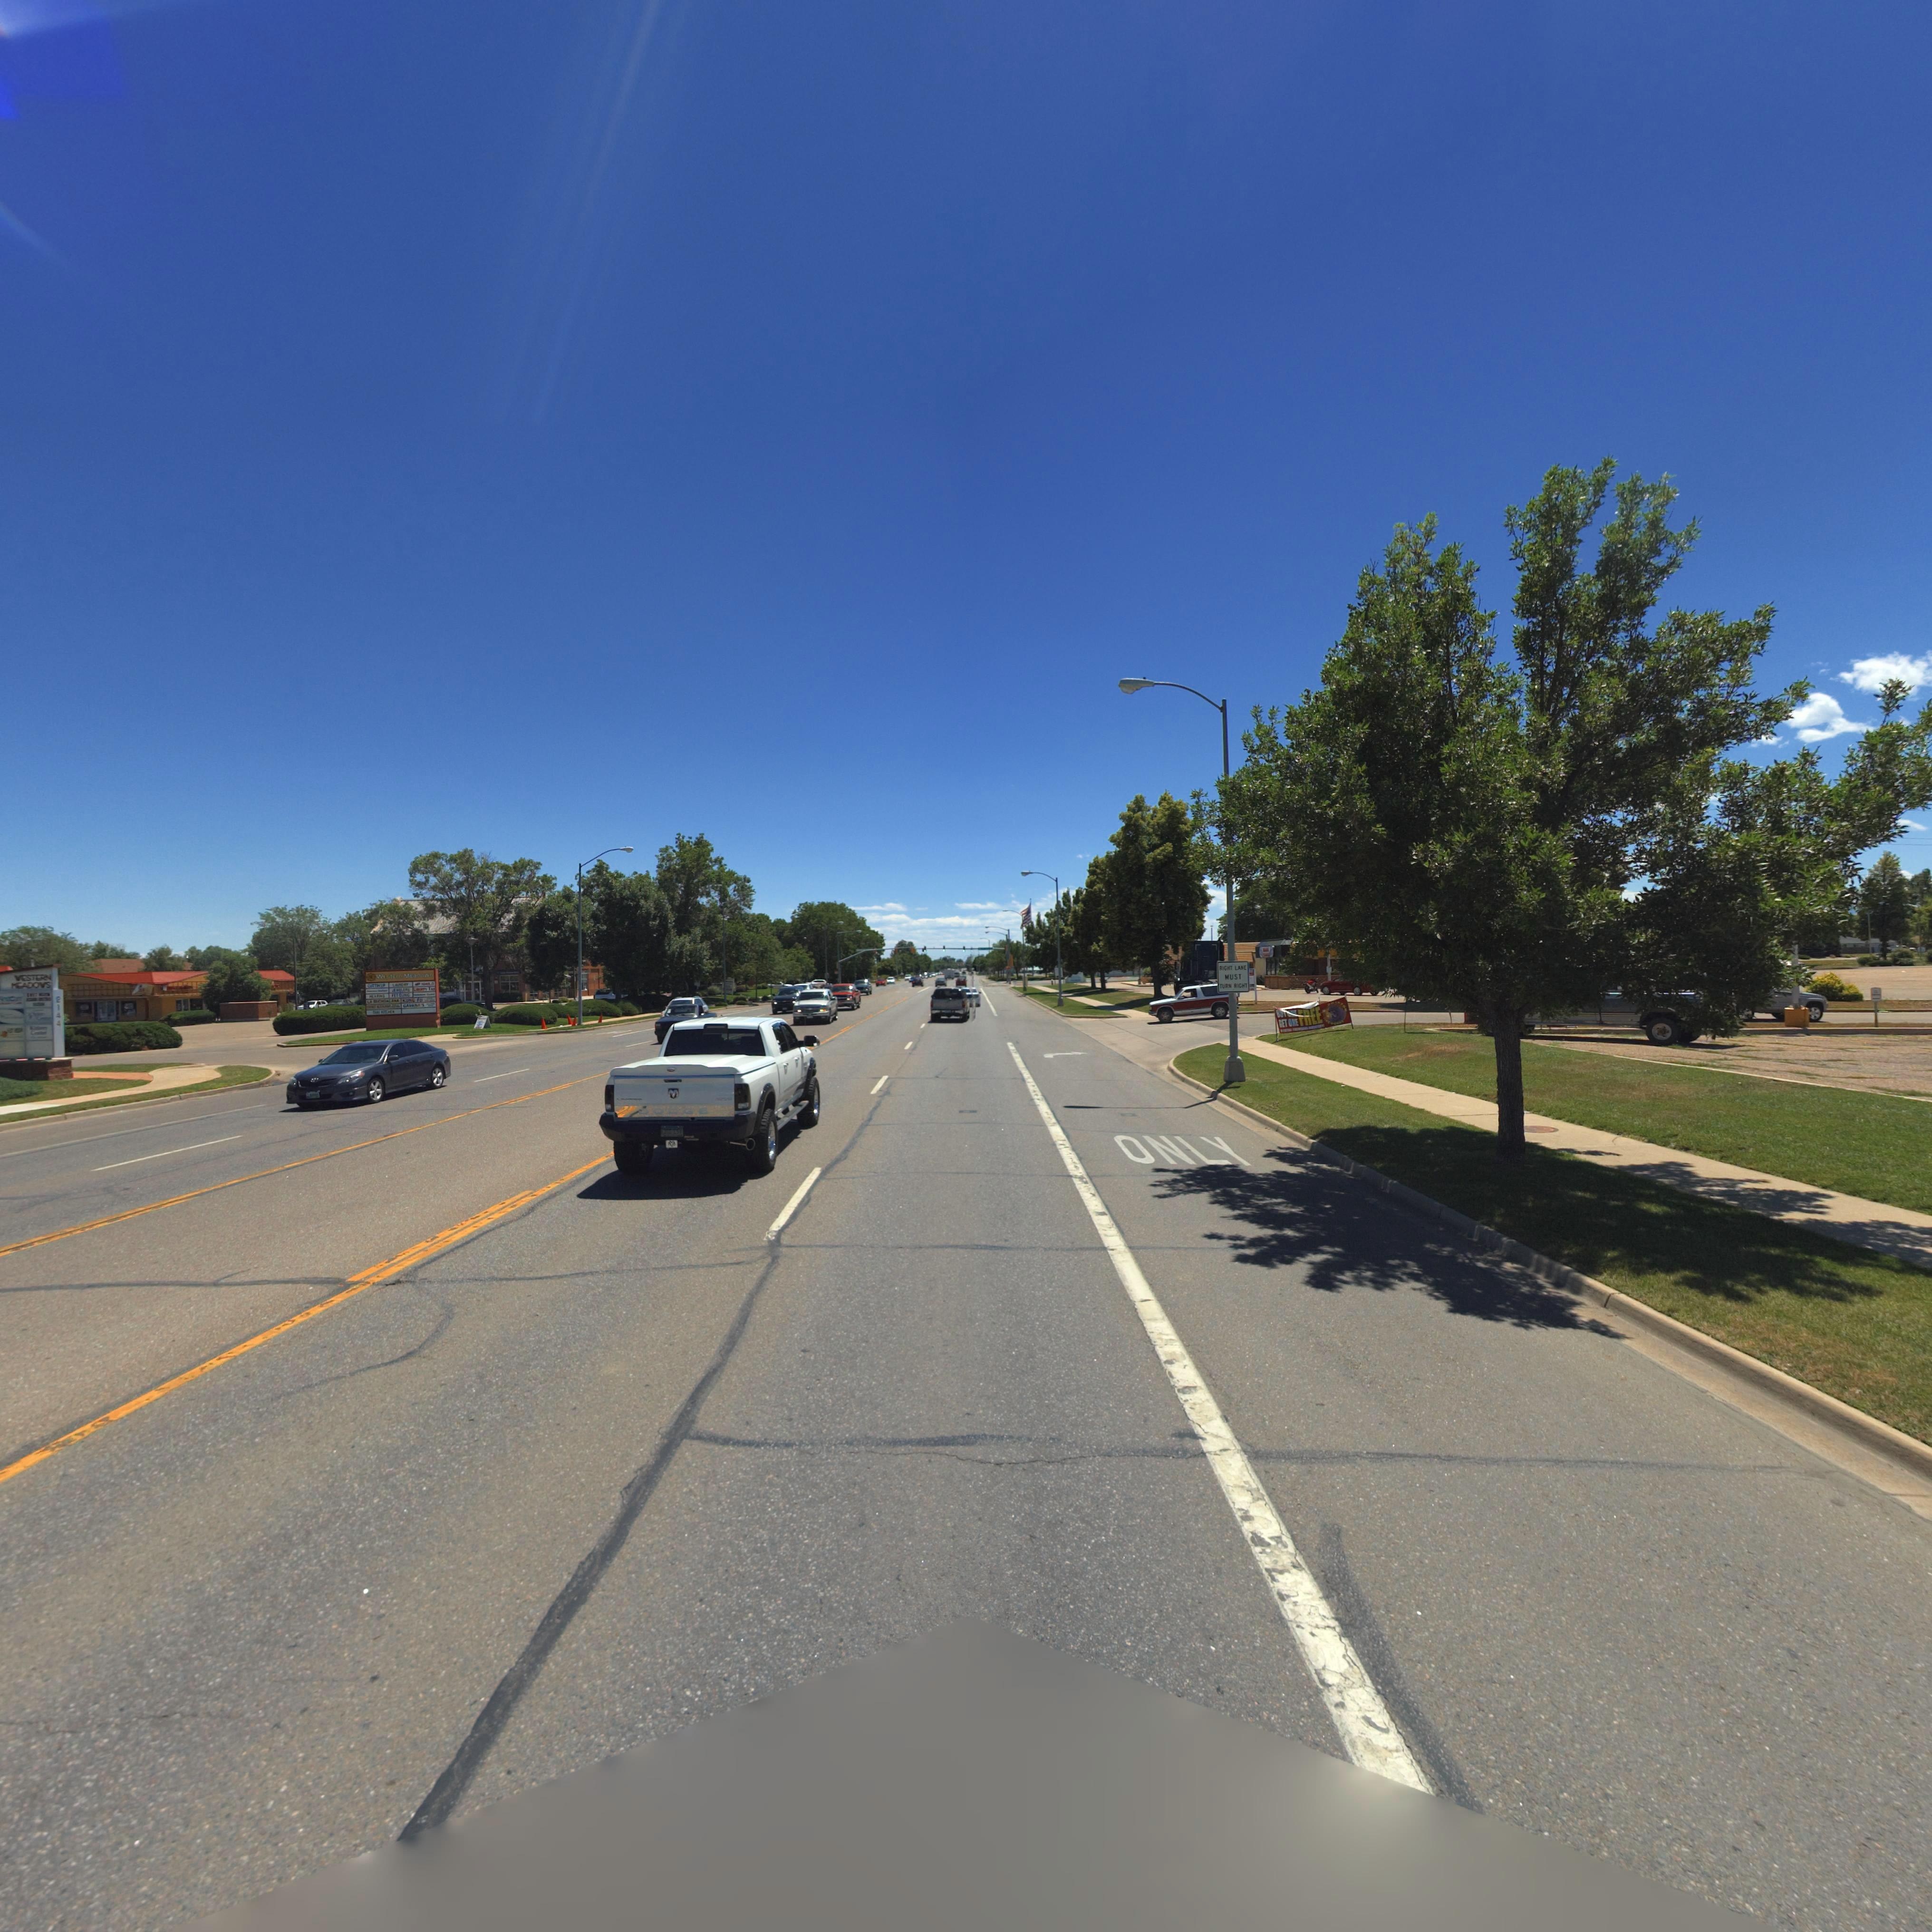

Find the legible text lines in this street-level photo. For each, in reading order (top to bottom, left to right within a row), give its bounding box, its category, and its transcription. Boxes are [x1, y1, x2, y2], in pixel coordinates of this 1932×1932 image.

[414, 986, 435, 991] BusinessName: L****TY TA*
[56, 996, 61, 1027] StreetNumber: 2144